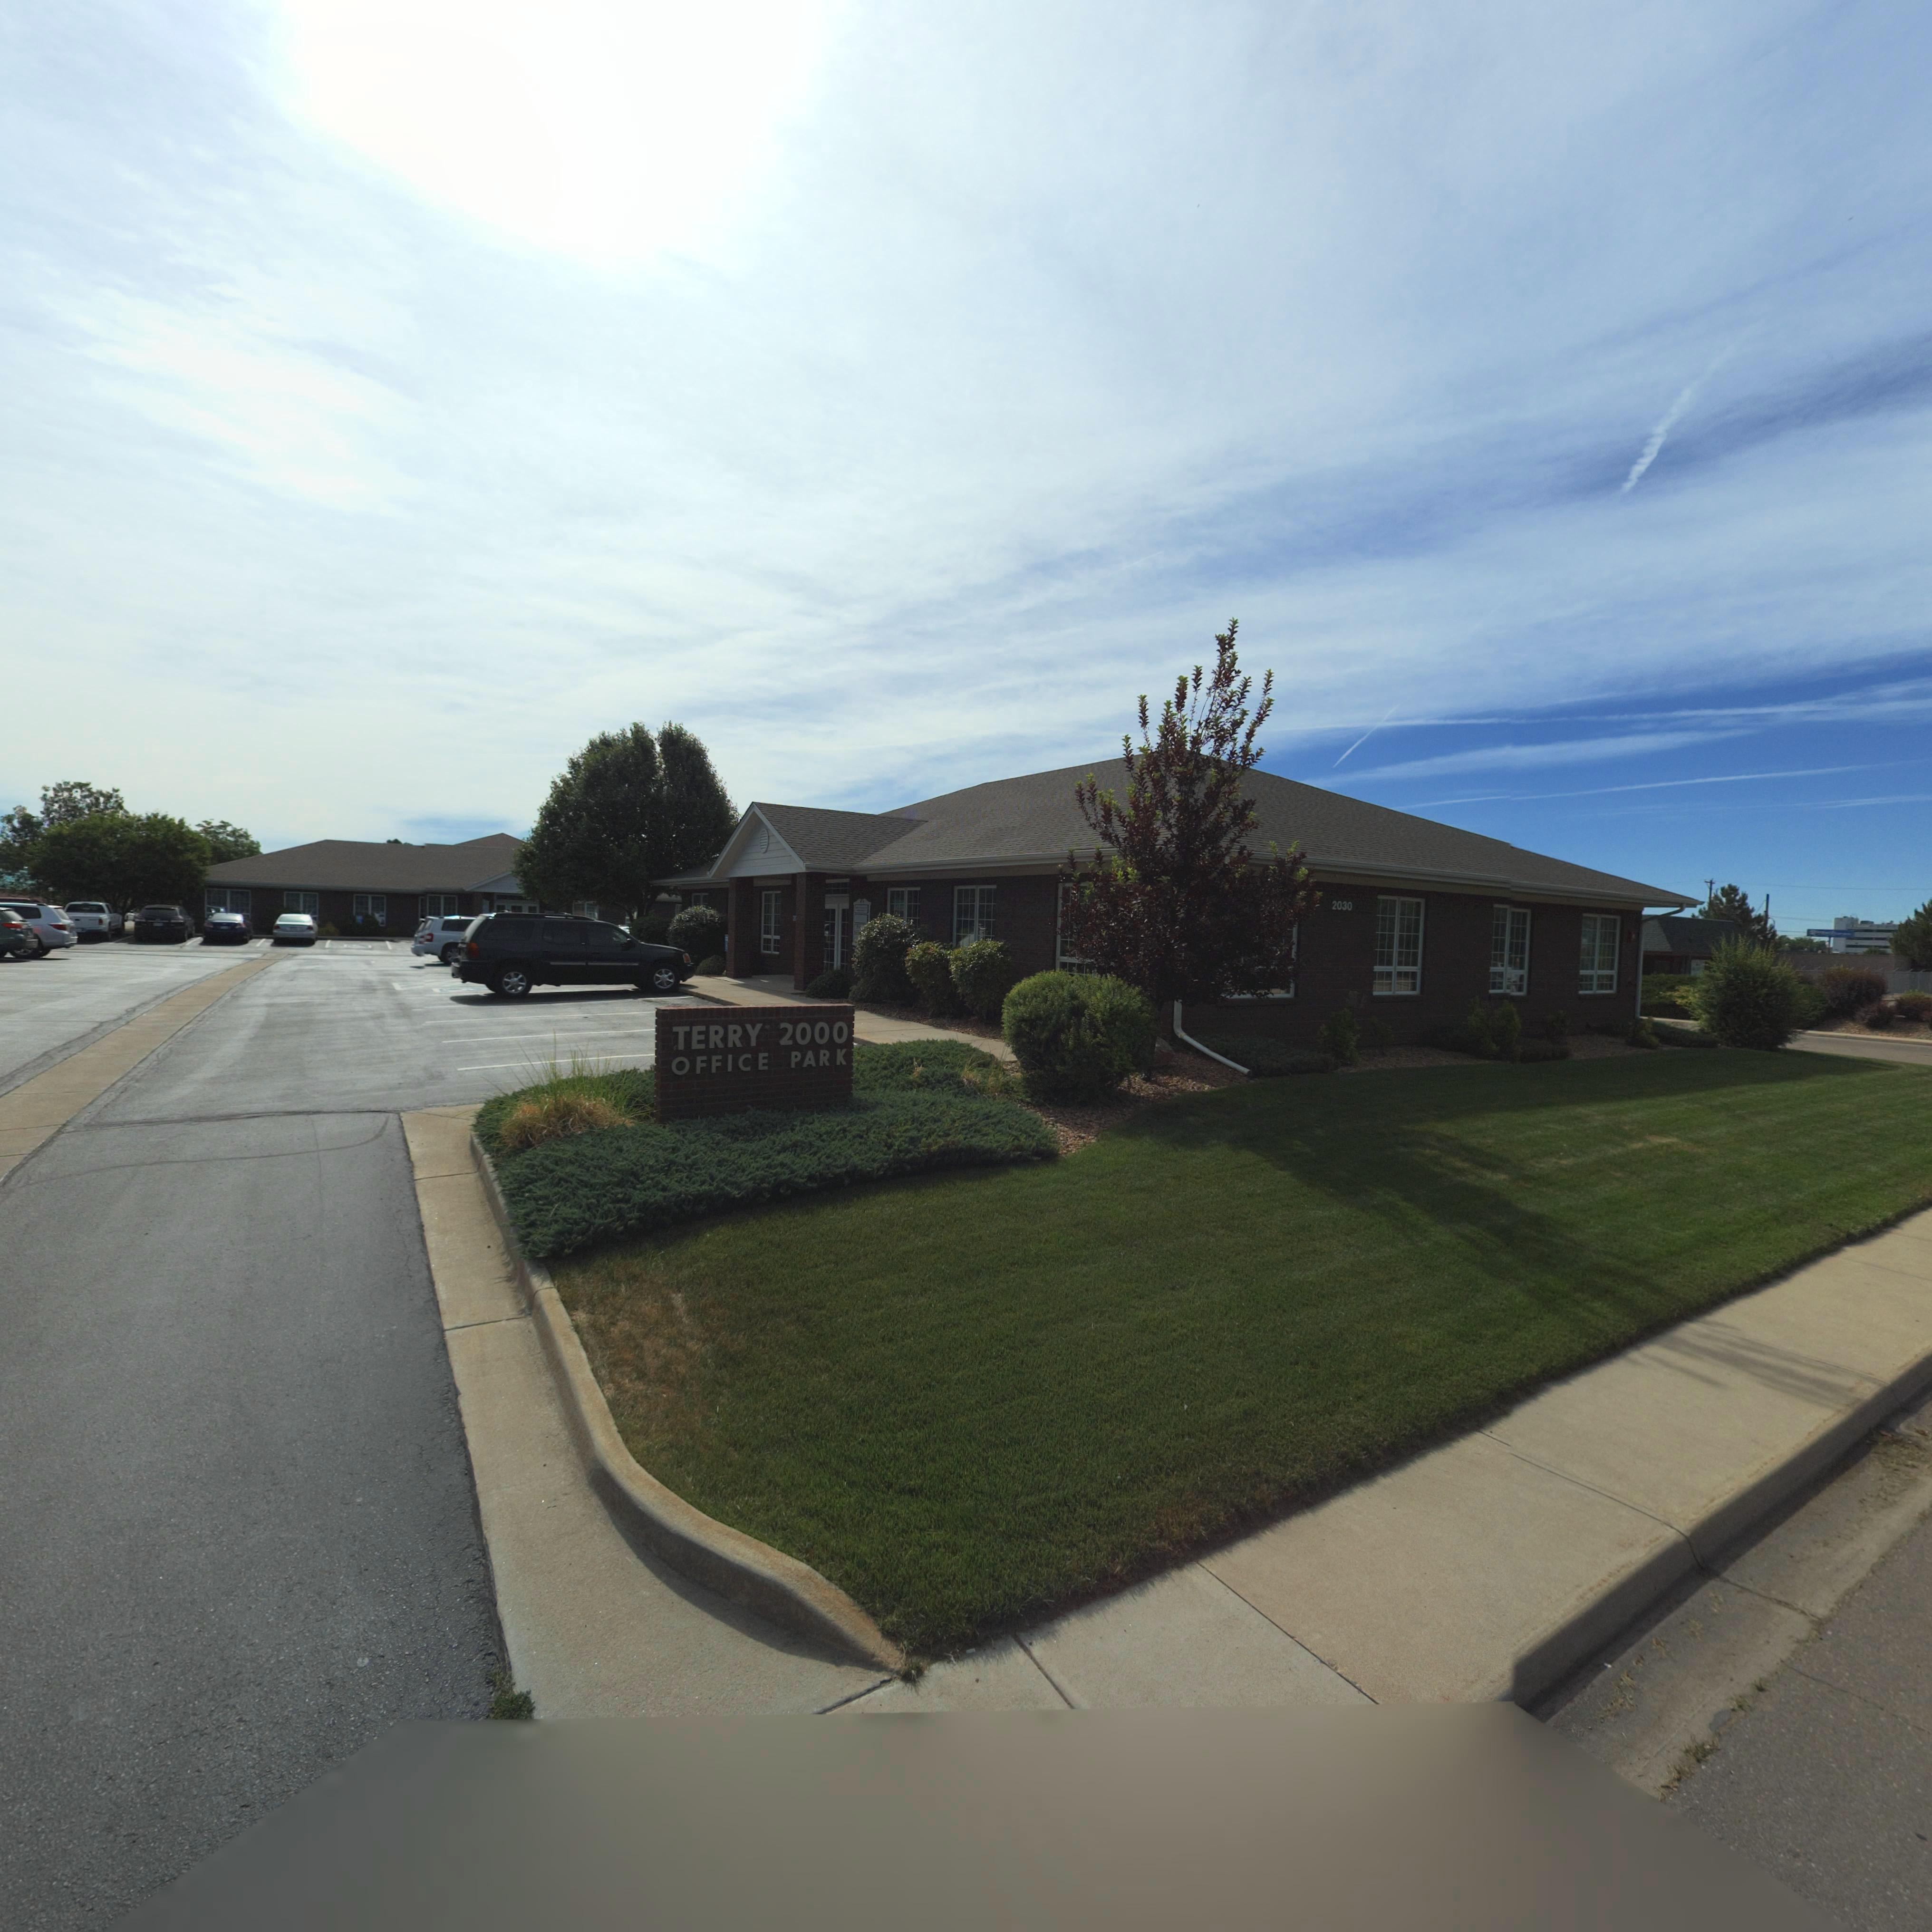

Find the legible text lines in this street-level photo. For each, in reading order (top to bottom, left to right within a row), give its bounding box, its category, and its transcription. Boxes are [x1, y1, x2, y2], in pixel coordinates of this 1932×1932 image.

[1332, 900, 1353, 911] StreetNumber: 2030
[670, 1022, 764, 1052] StreetName: TERRY
[778, 1020, 849, 1047] StreetNumber: 2000